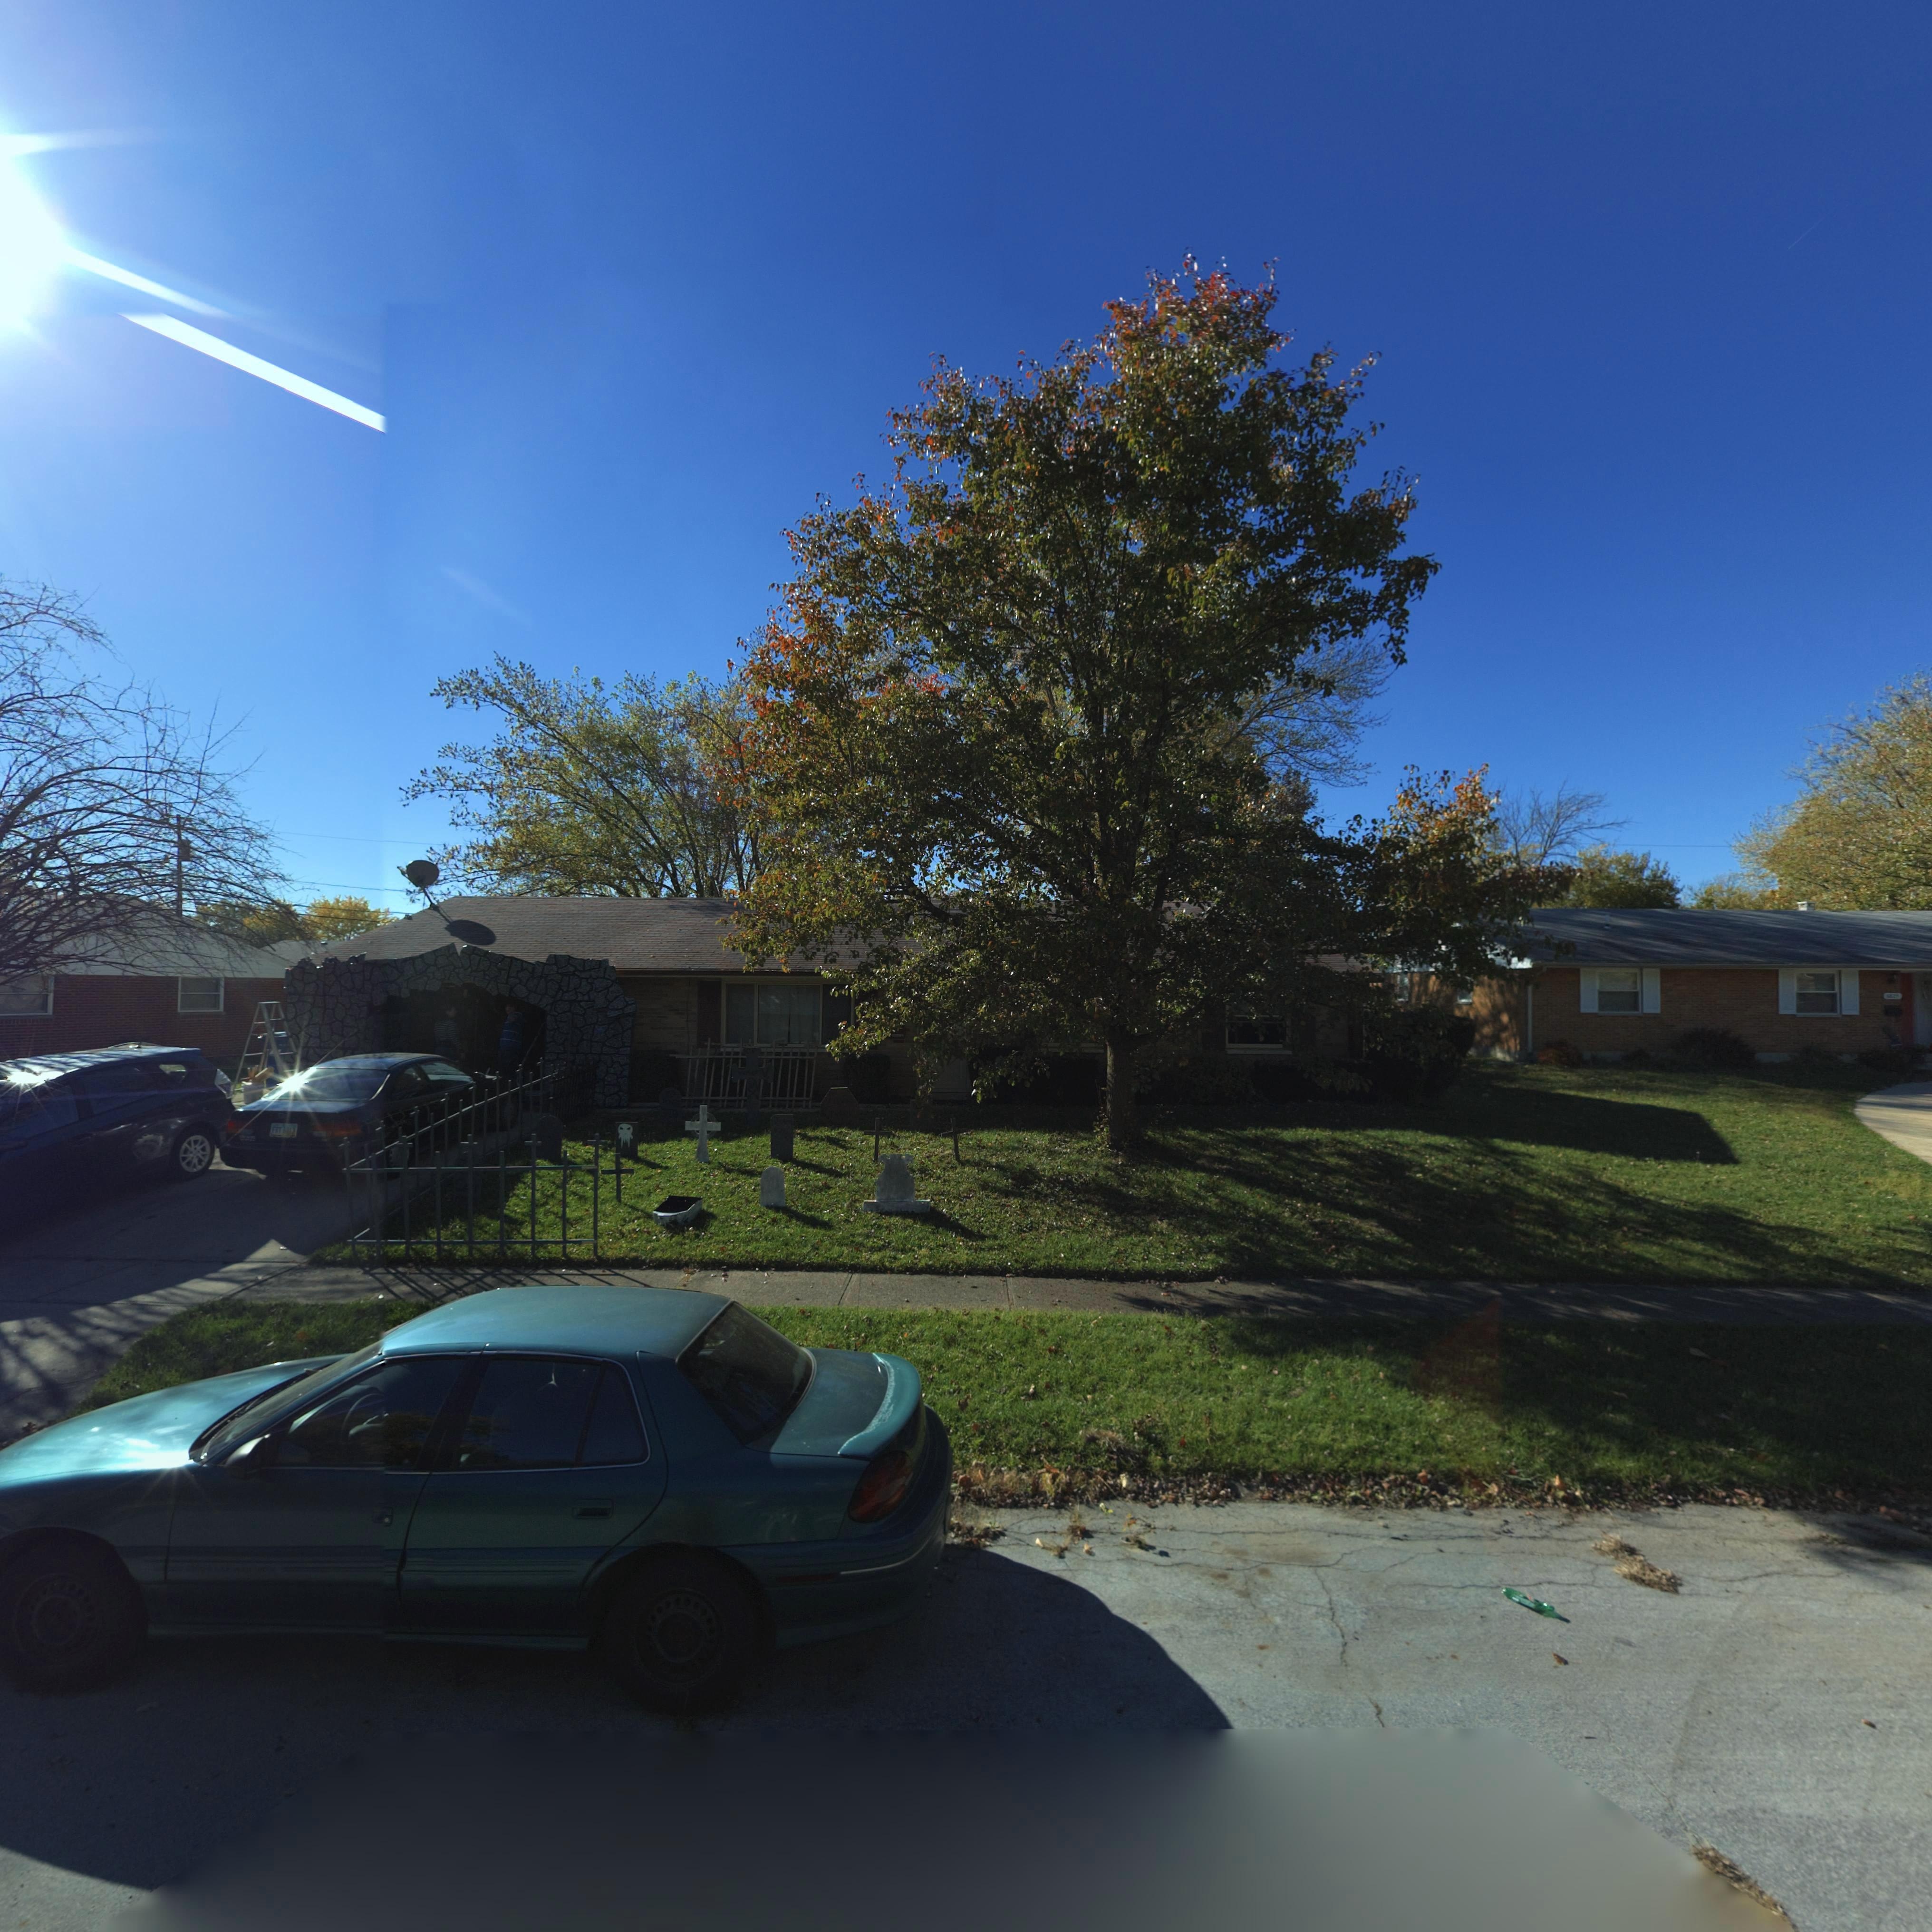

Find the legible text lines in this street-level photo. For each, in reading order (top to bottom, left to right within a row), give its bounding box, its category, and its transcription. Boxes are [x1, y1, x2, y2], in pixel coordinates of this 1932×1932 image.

[1886, 993, 1899, 998] StreetNumber: 682*